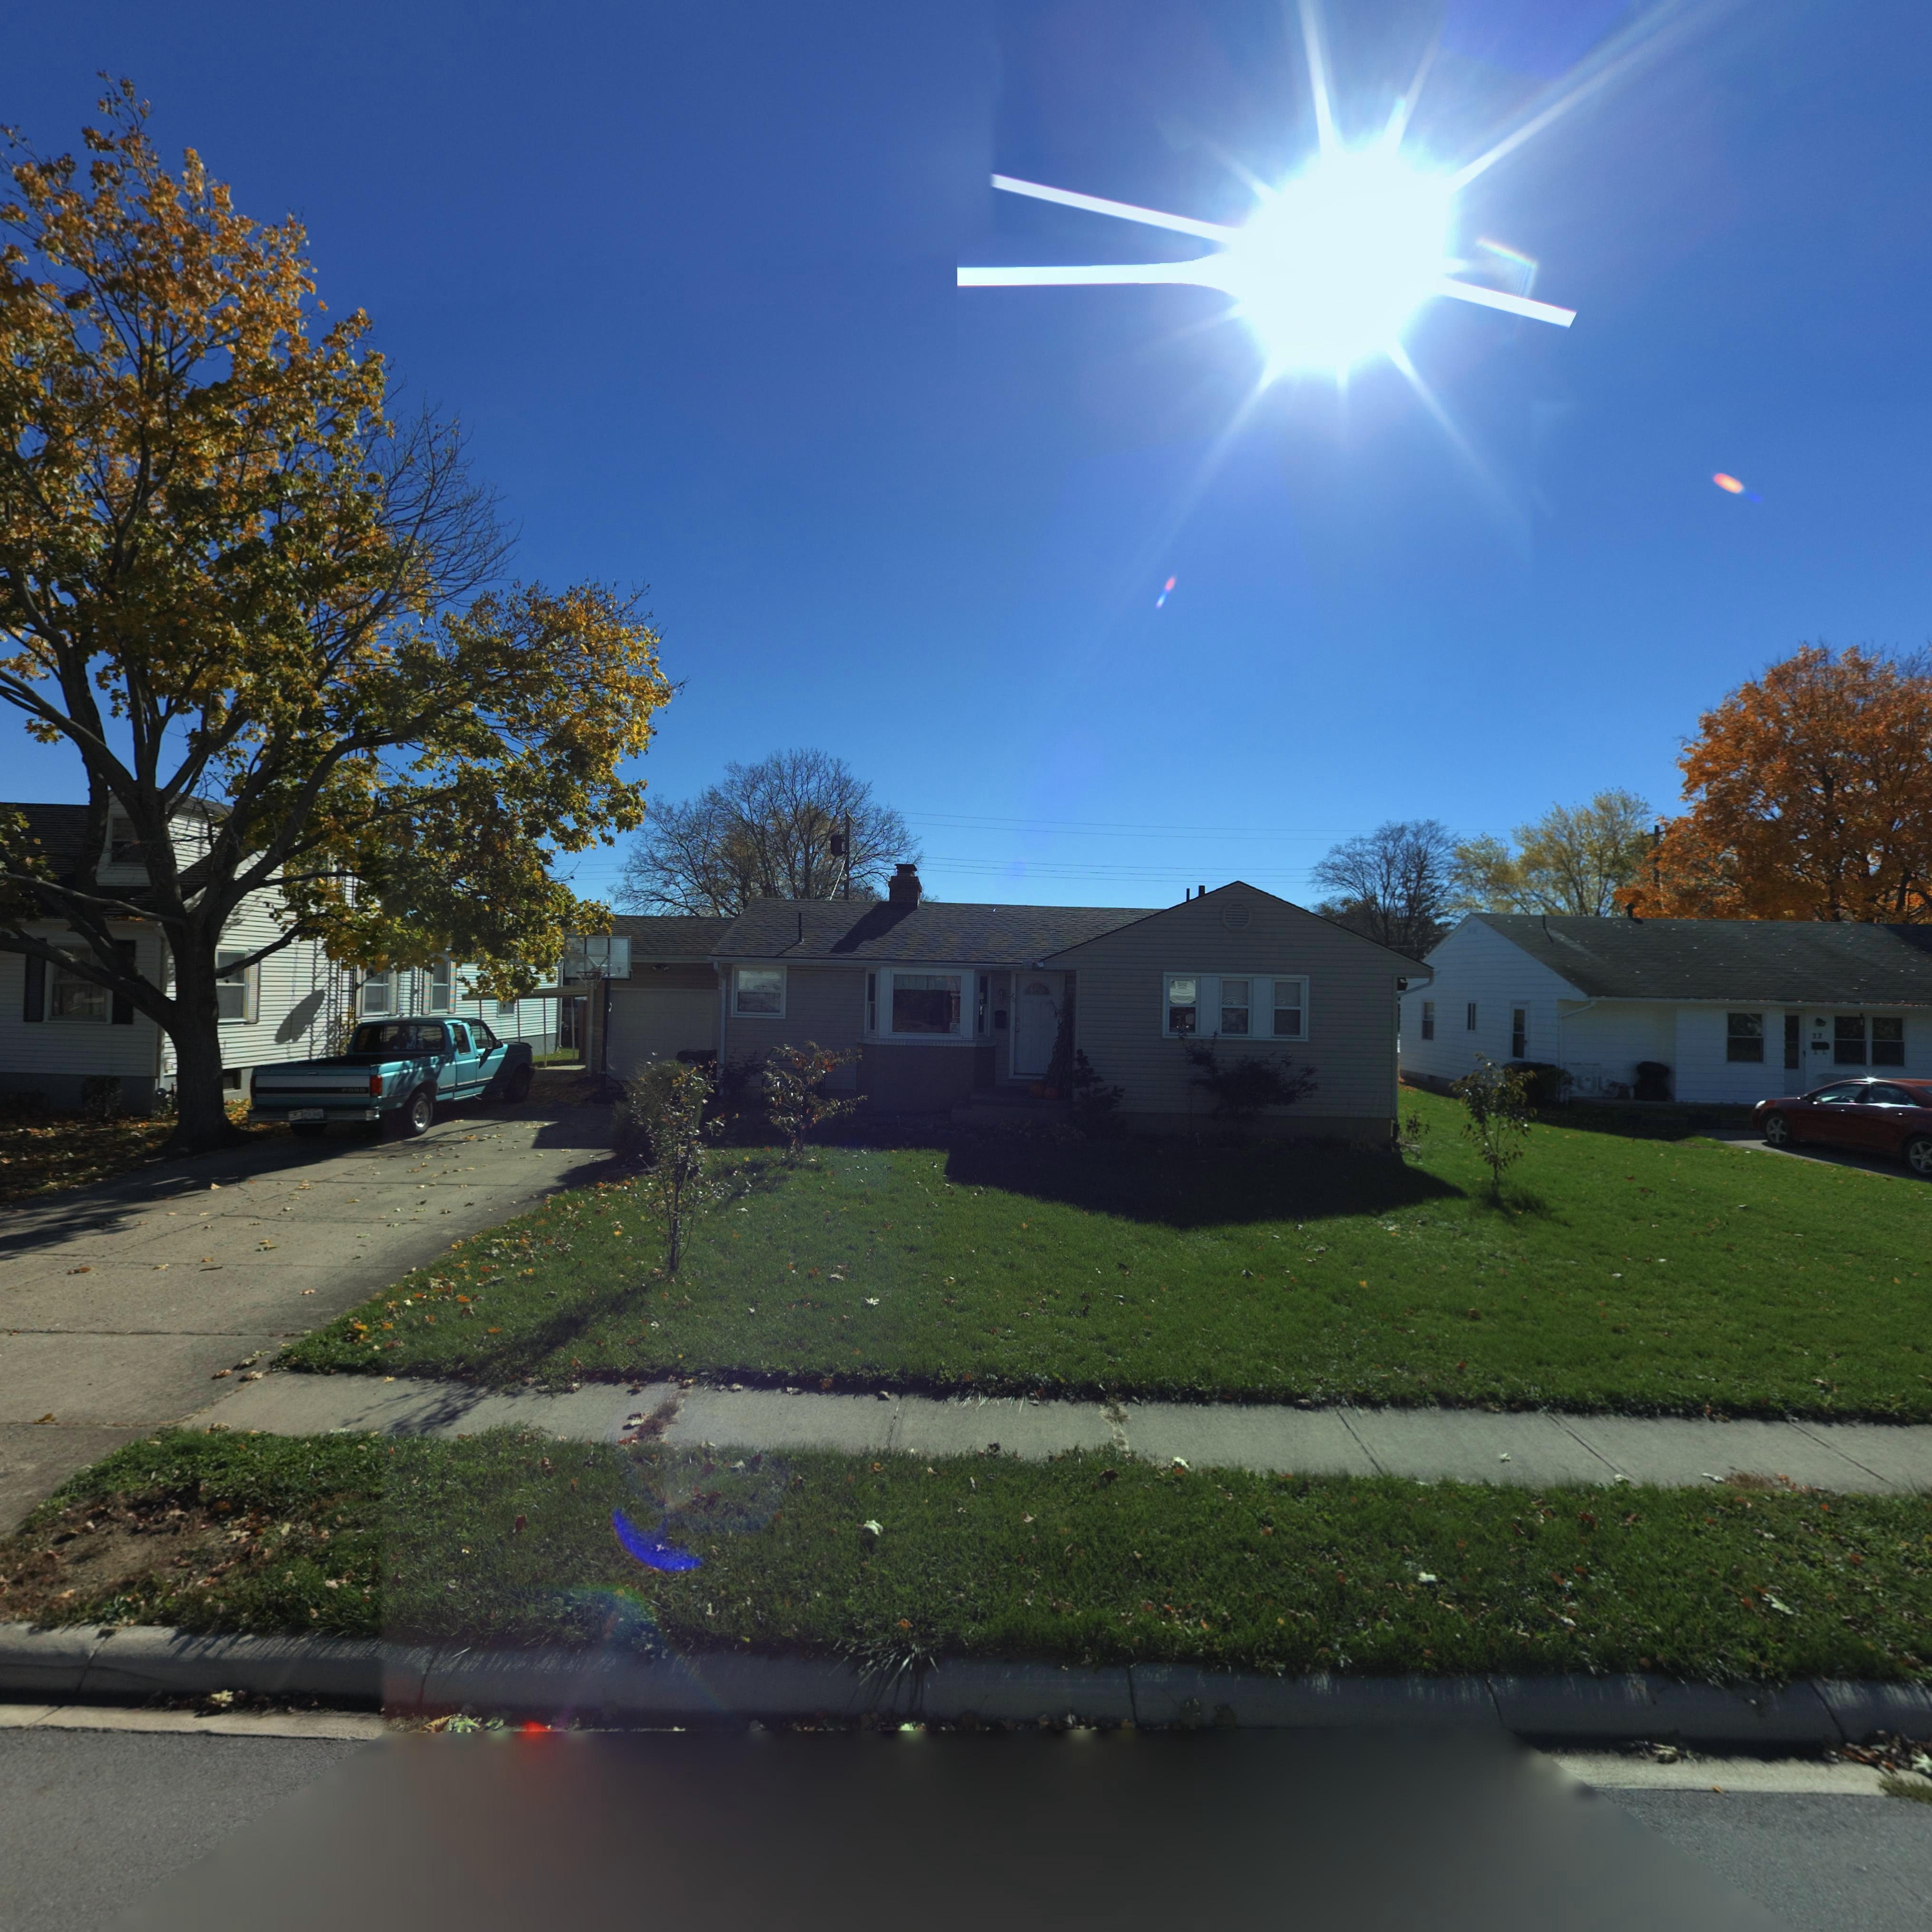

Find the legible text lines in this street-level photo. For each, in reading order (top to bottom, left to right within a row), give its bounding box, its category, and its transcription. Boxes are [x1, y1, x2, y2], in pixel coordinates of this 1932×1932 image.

[1009, 992, 1016, 1004] StreetNumber: 20
[1810, 1032, 1824, 1040] StreetNumber: 22
[341, 1087, 367, 1093] None: FORD